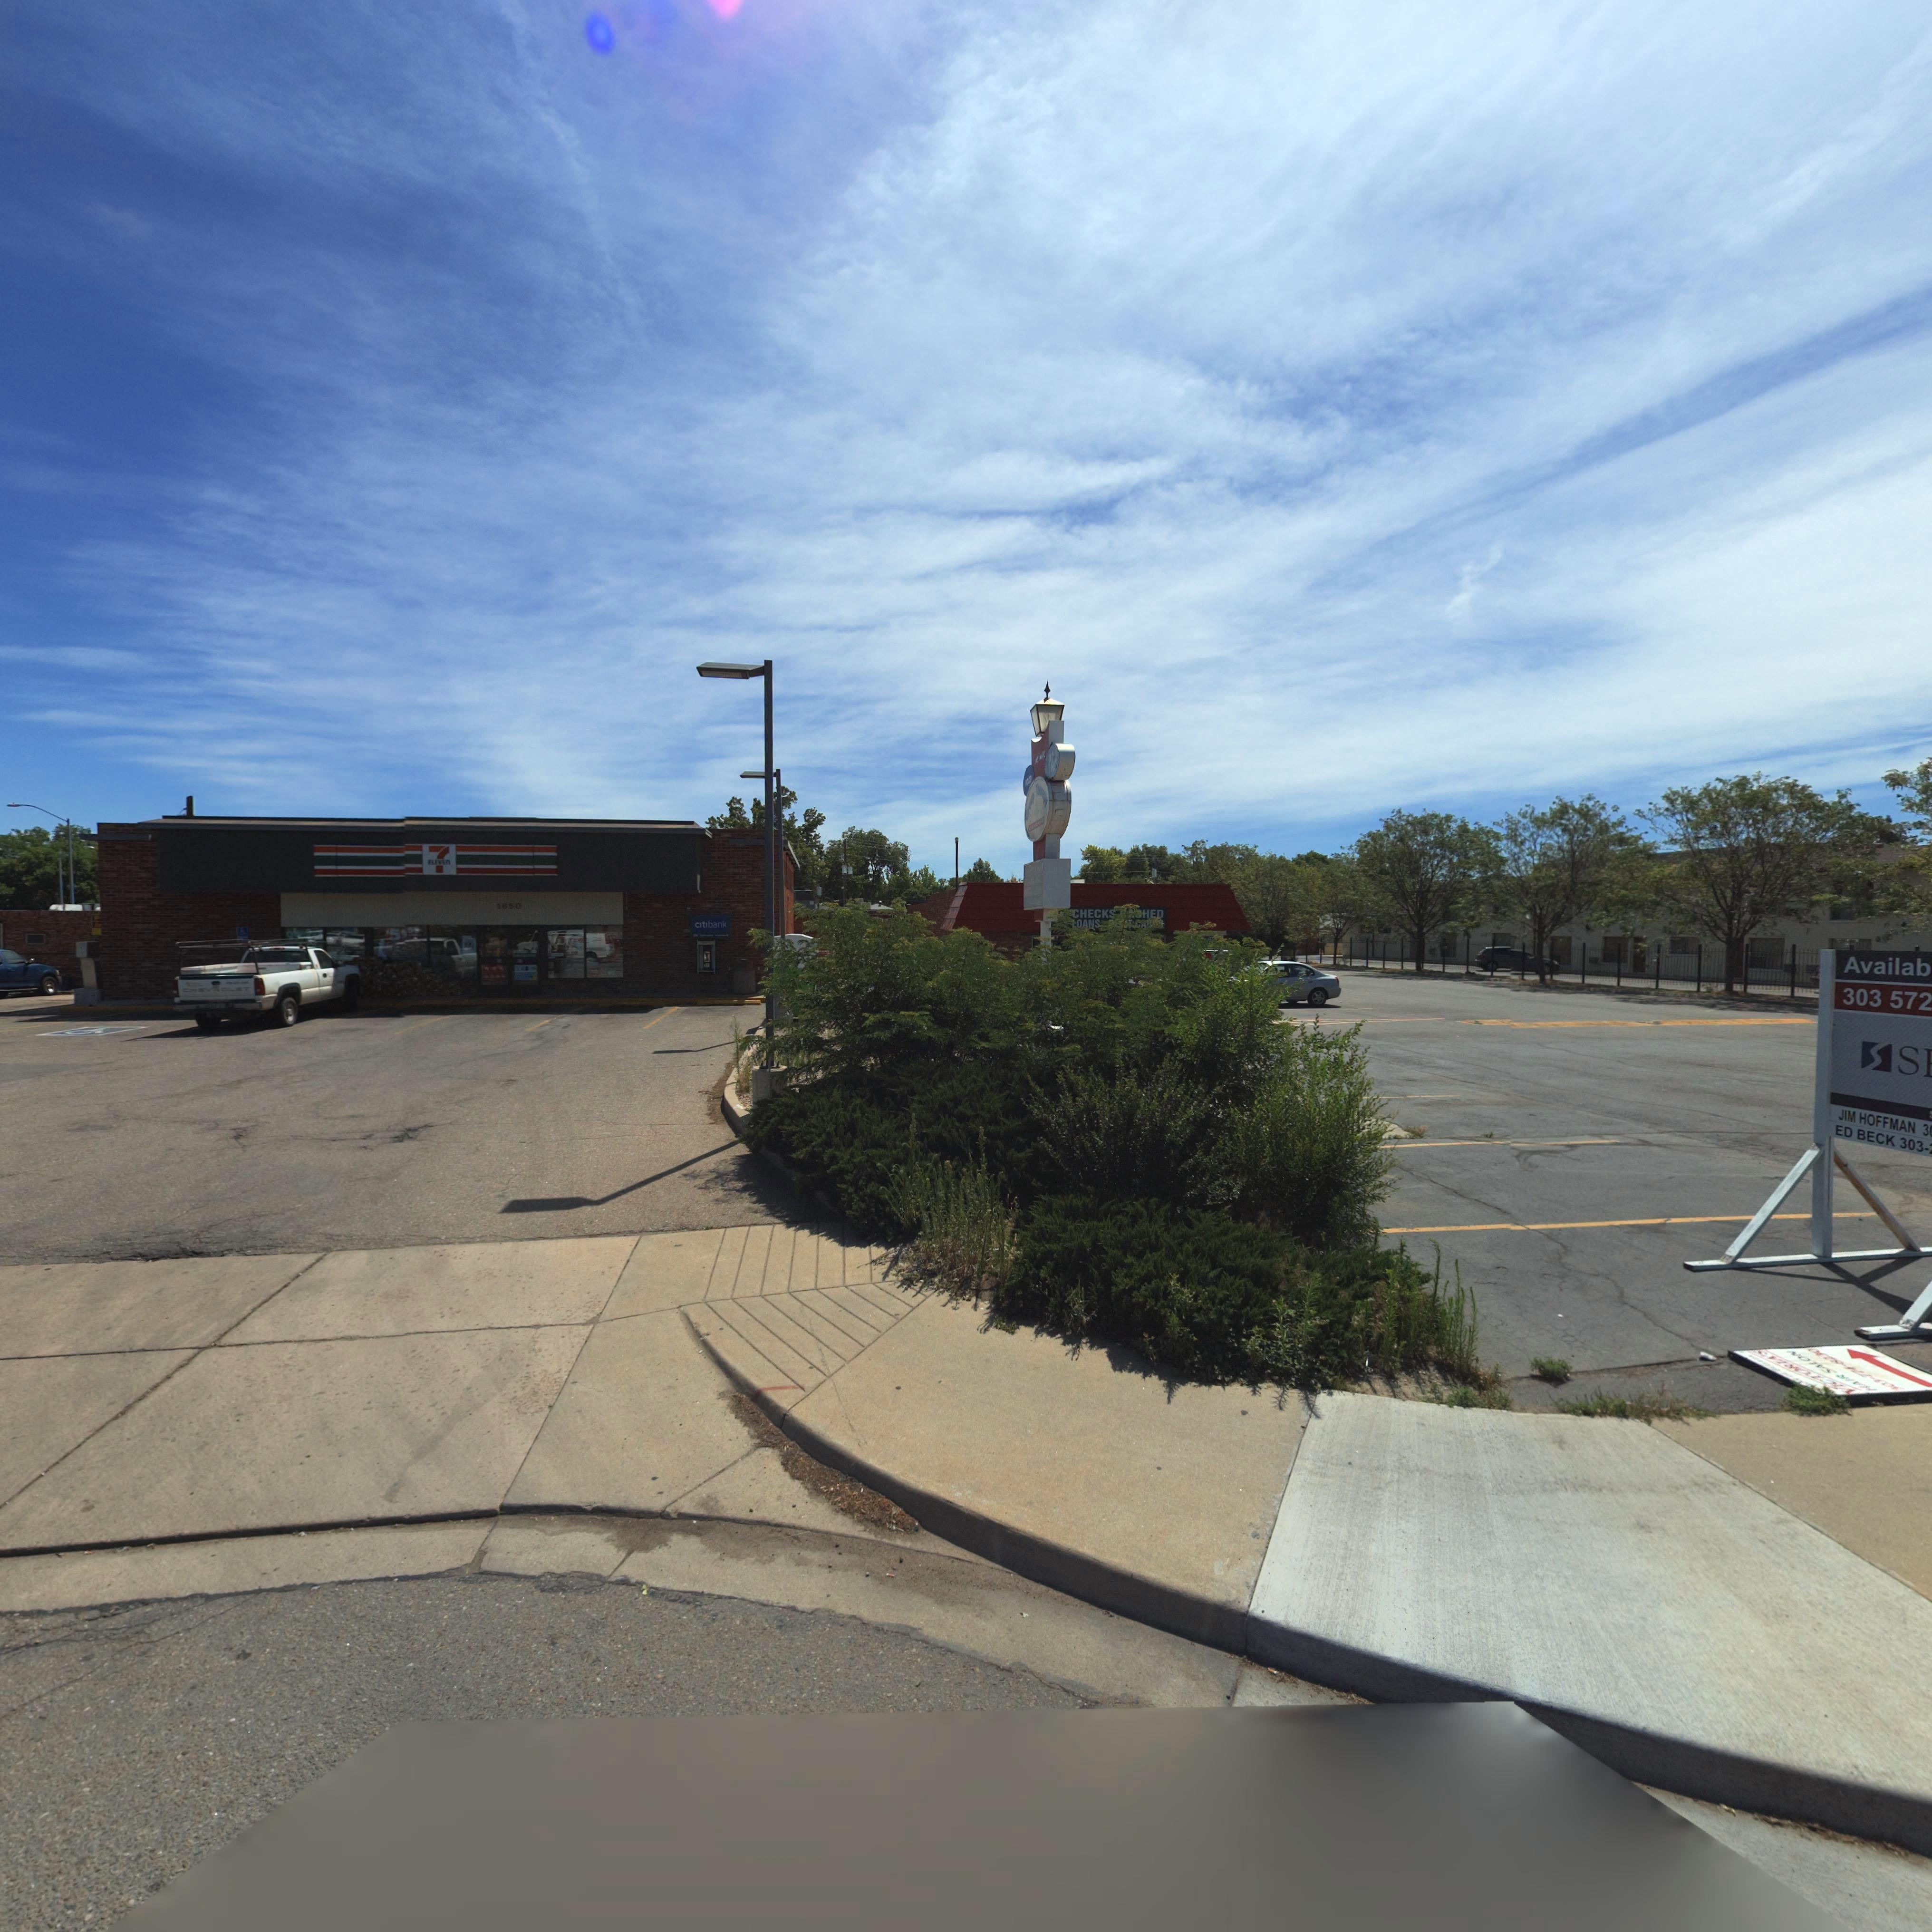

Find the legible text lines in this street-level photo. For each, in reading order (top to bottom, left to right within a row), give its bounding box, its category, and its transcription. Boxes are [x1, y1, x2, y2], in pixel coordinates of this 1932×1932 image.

[427, 845, 450, 873] BusinessName: 7
[427, 859, 451, 865] BusinessName: ELEVEn
[496, 902, 522, 909] StreetNumber: 1650